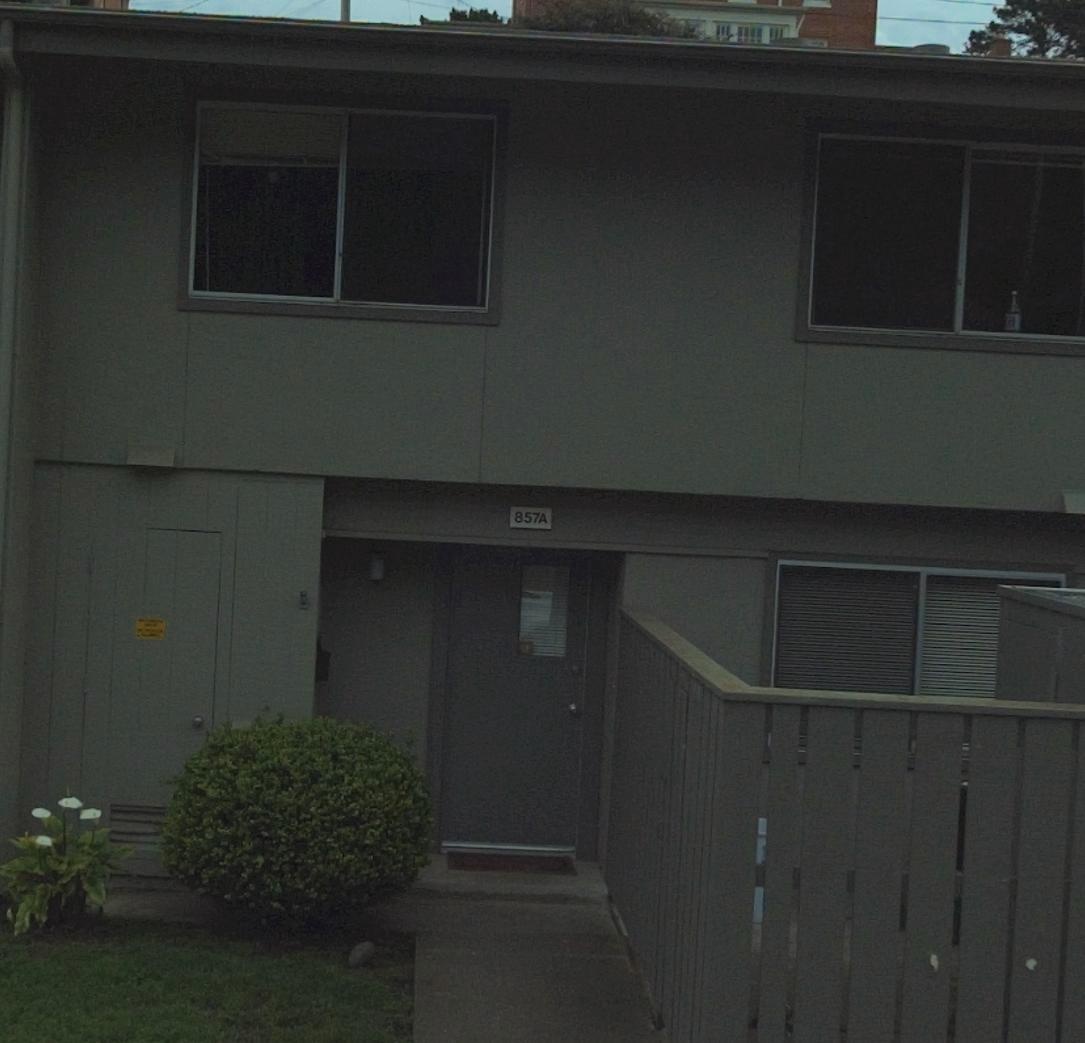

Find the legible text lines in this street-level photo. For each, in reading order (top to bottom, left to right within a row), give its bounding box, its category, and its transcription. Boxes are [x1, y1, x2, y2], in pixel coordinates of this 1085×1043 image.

[514, 510, 548, 525] StreetNumber: 857A